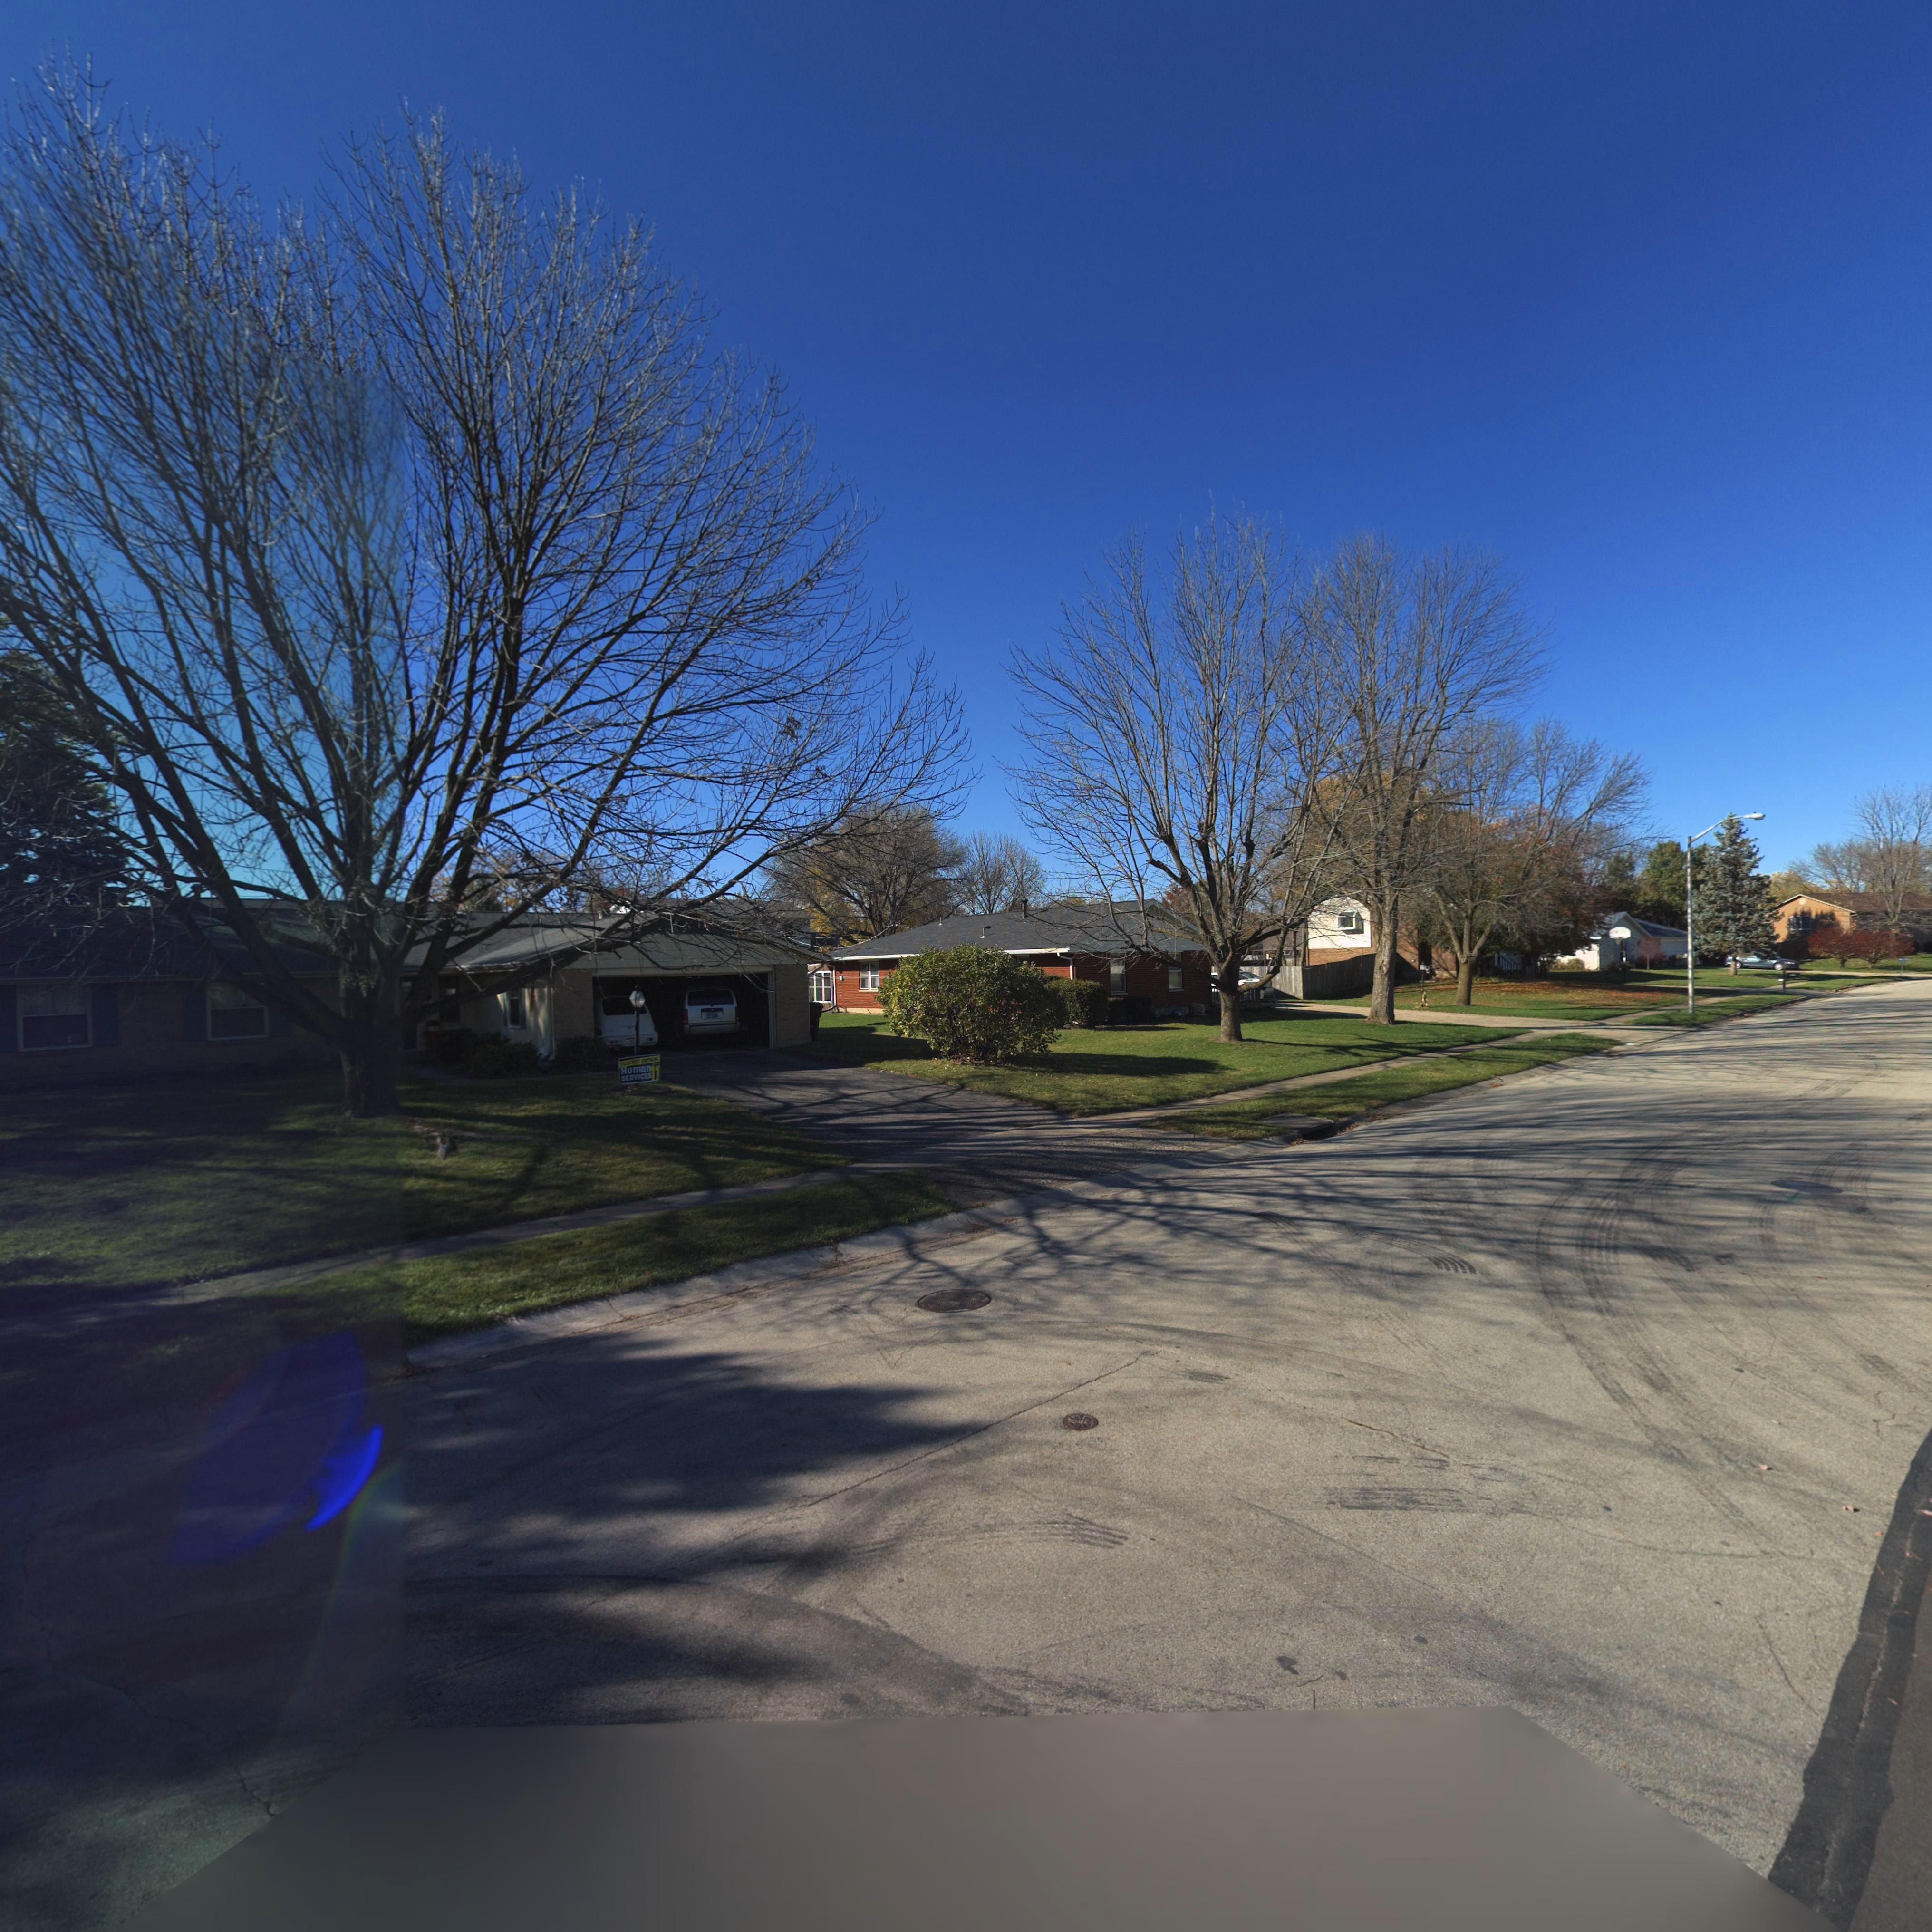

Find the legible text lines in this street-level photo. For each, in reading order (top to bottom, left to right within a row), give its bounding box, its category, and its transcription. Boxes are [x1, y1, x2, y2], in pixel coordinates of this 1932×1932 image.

[695, 965, 701, 972] StreetNumber: 0
[641, 1056, 659, 1063] None: CRITICAL
[620, 1064, 652, 1075] None: Human
[620, 1072, 652, 1082] None: SERVICES
[650, 1064, 660, 1081] None: 11